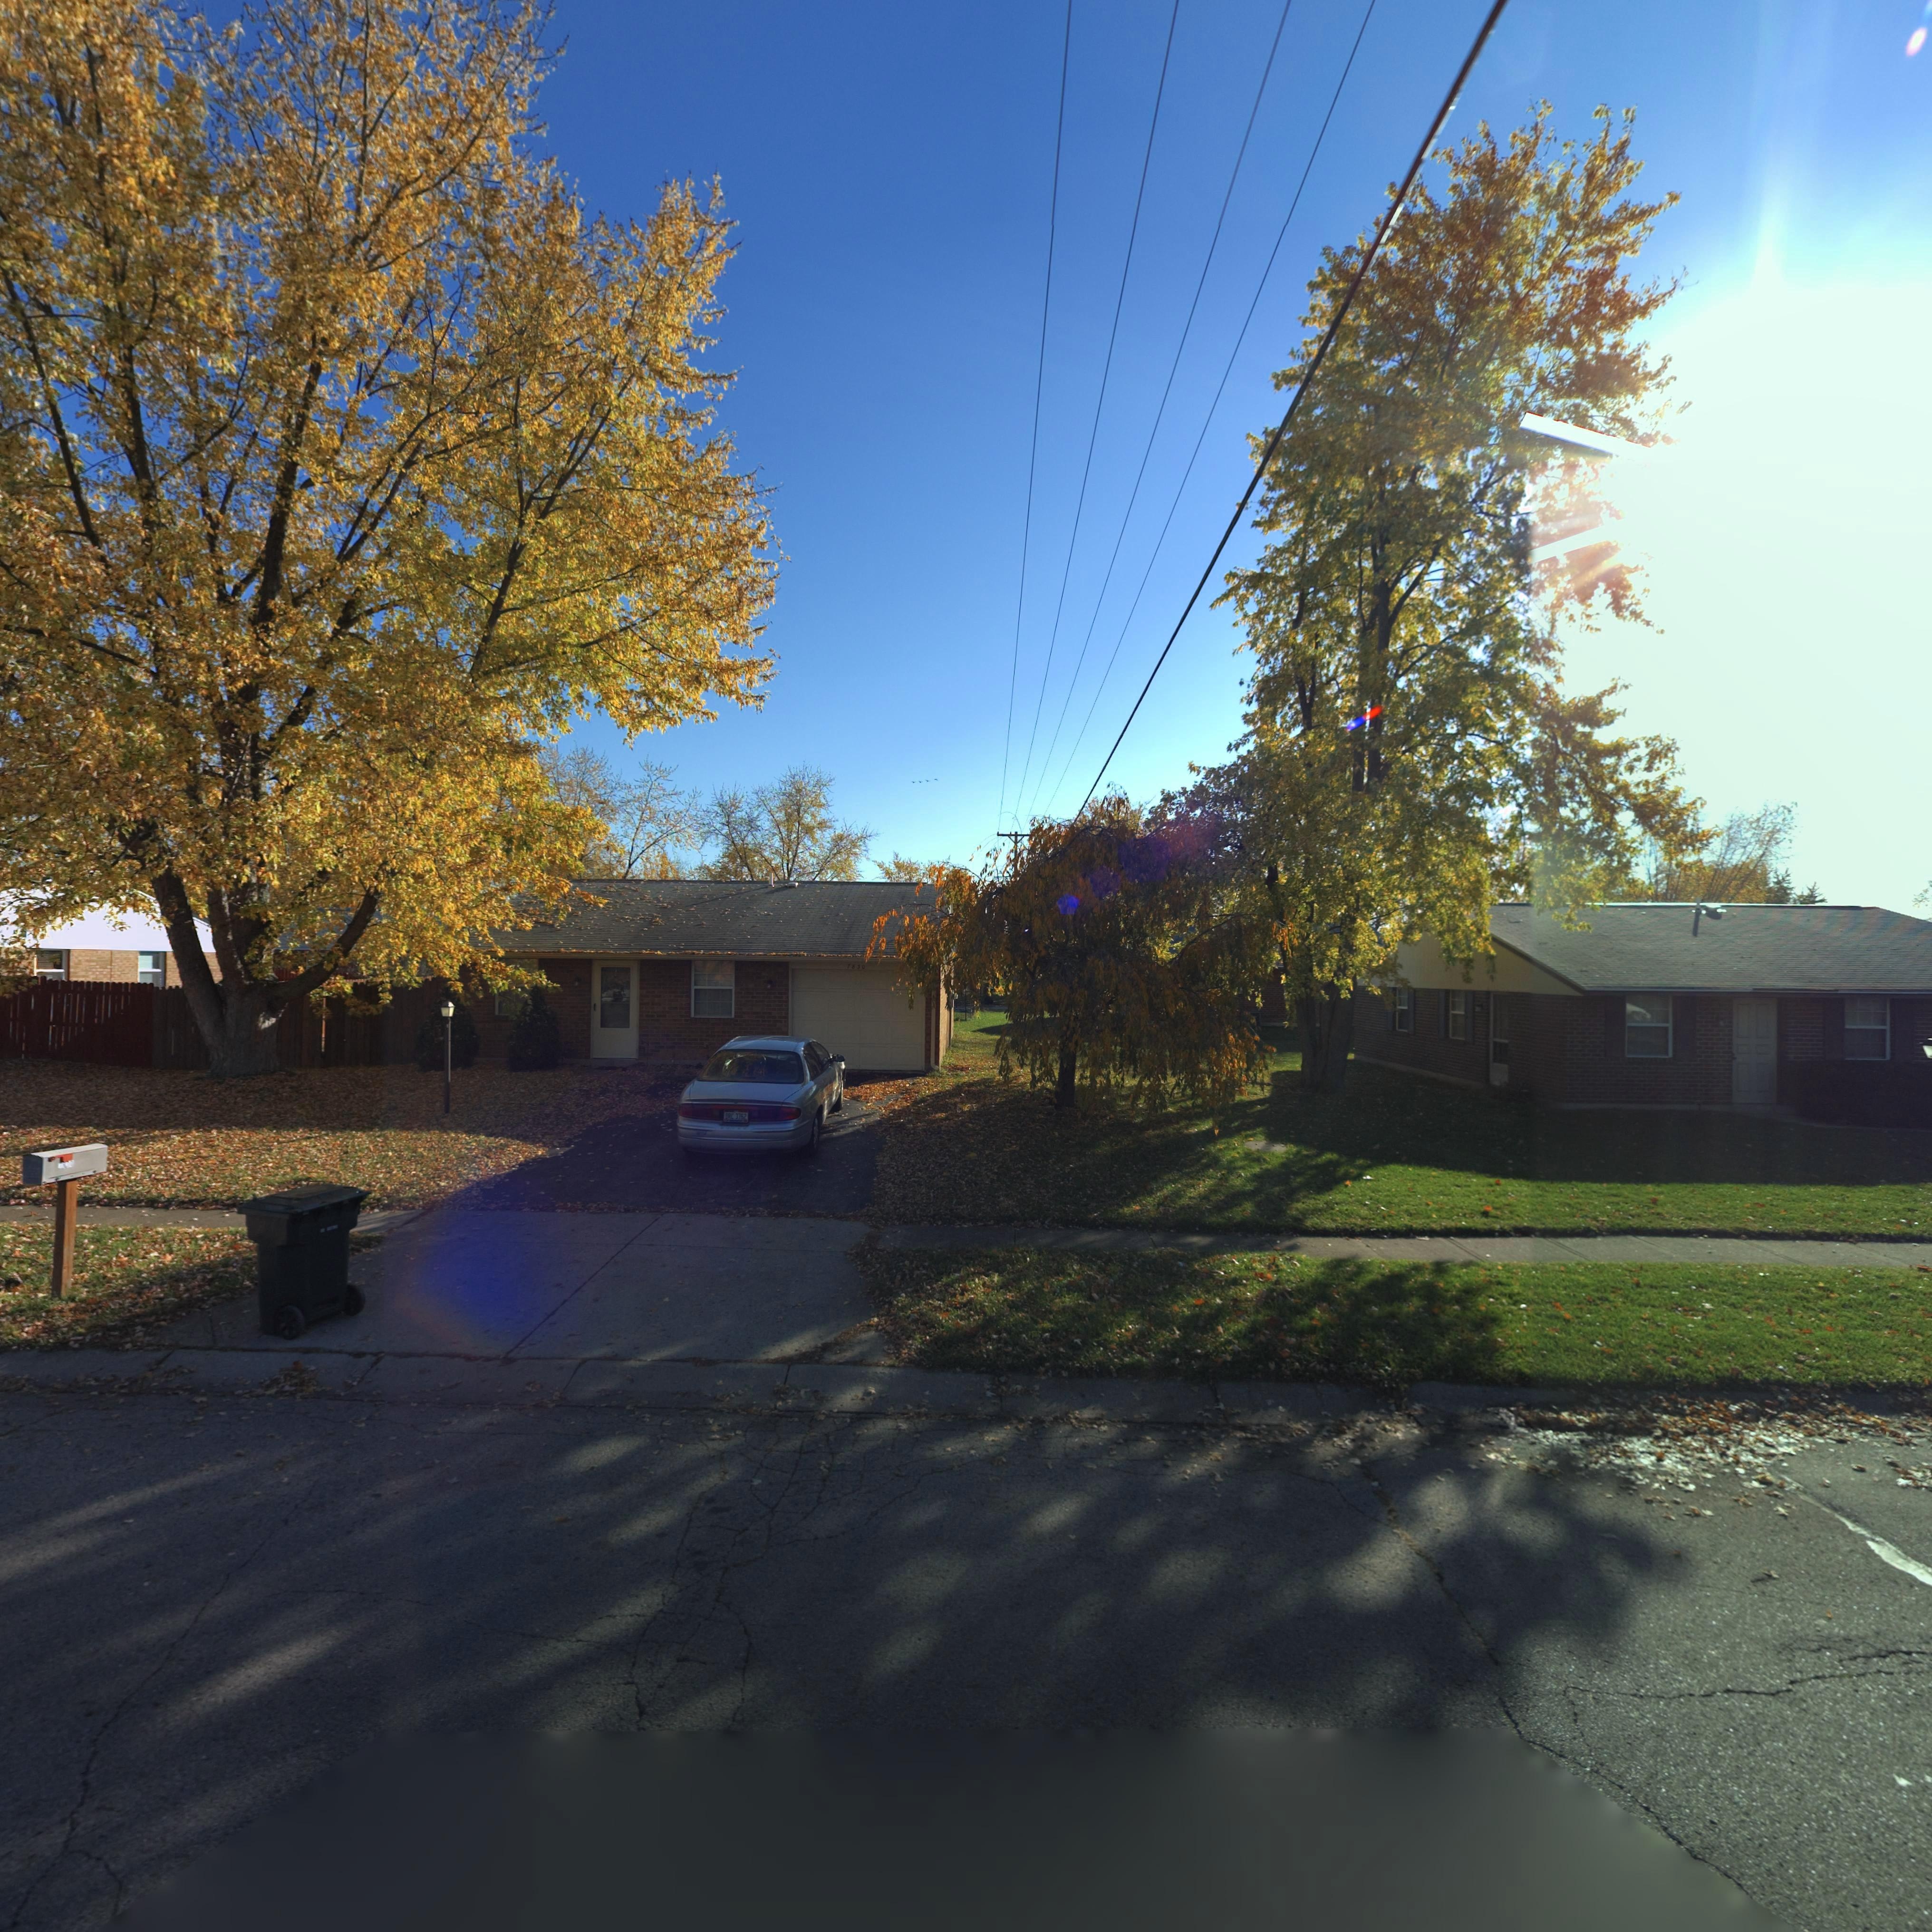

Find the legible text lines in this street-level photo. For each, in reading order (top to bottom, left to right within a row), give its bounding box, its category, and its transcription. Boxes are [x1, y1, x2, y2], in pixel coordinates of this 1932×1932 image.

[846, 963, 867, 970] StreetNumber: 7830